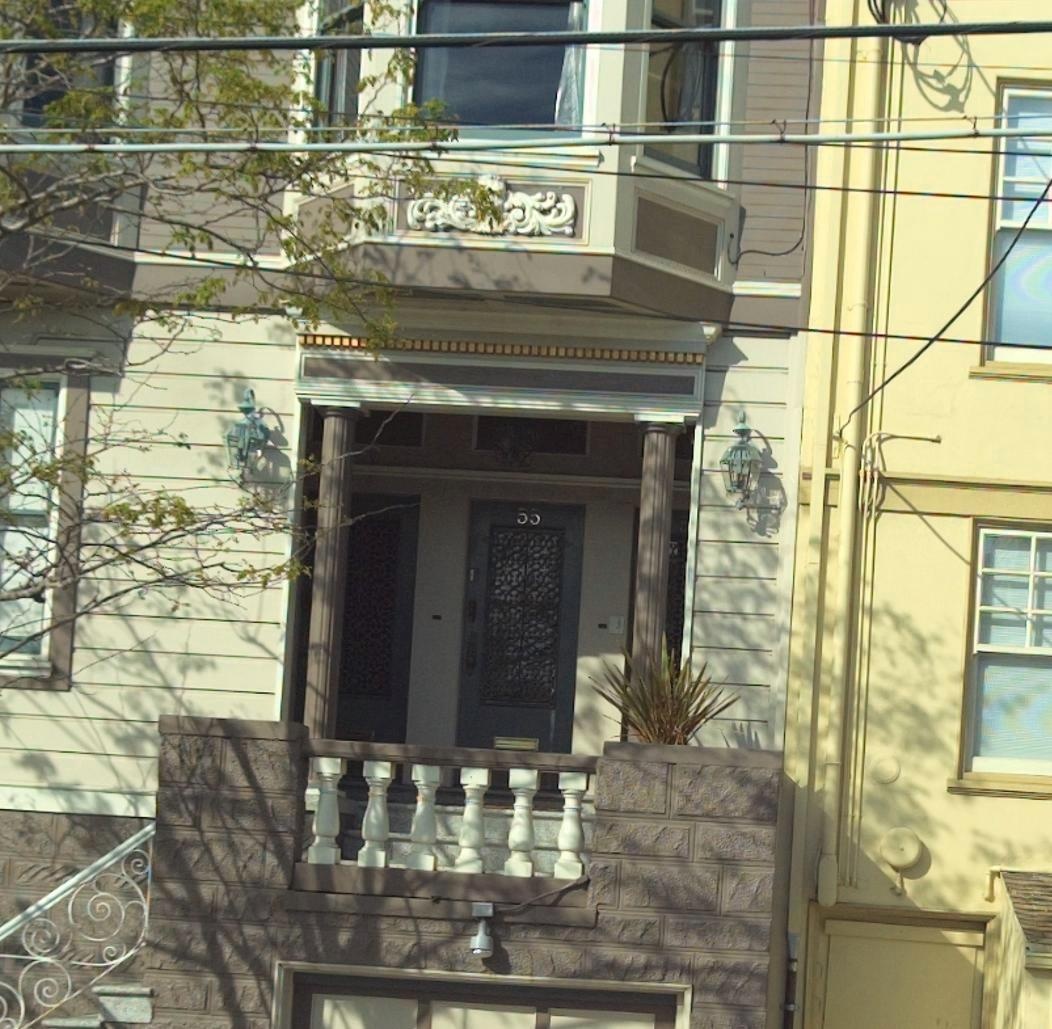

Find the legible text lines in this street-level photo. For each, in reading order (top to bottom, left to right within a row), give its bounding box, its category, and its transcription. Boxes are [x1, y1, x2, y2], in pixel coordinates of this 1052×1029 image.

[516, 506, 541, 526] StreetNumber: 55